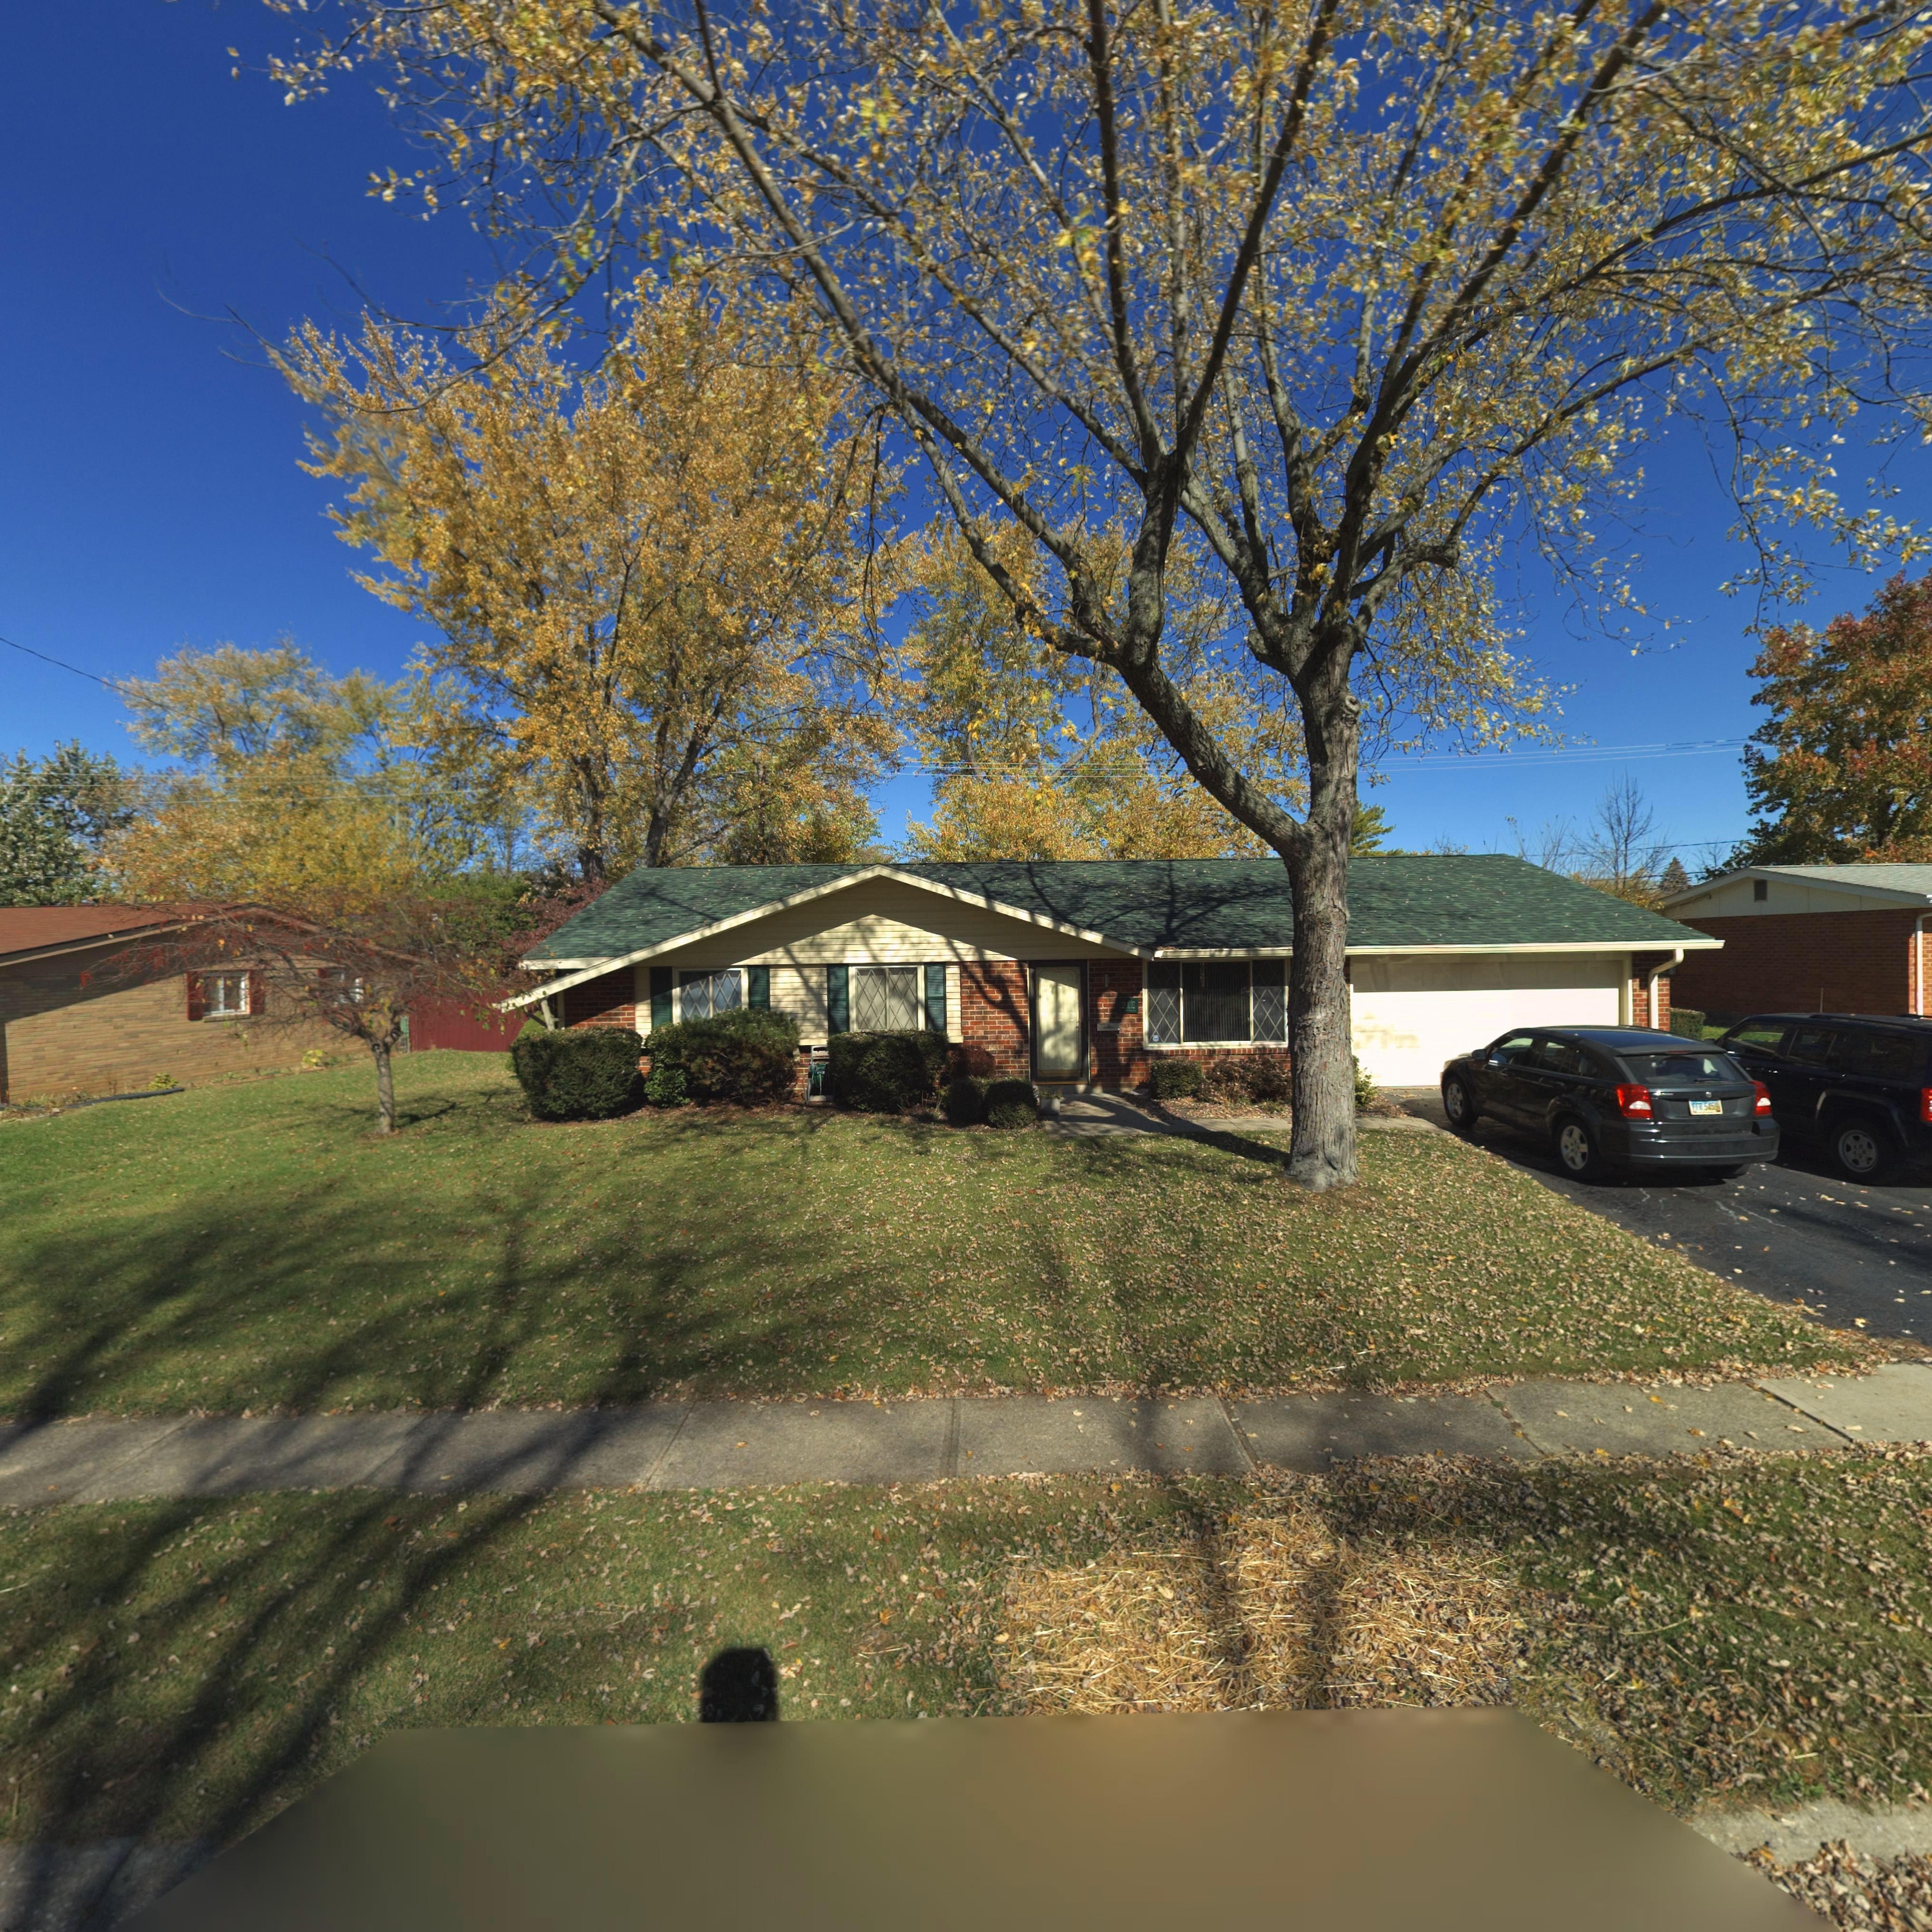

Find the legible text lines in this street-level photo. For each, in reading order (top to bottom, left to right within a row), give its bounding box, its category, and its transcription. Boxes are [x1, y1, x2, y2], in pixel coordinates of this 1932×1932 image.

[1121, 1000, 1136, 1009] StreetNumber: 211